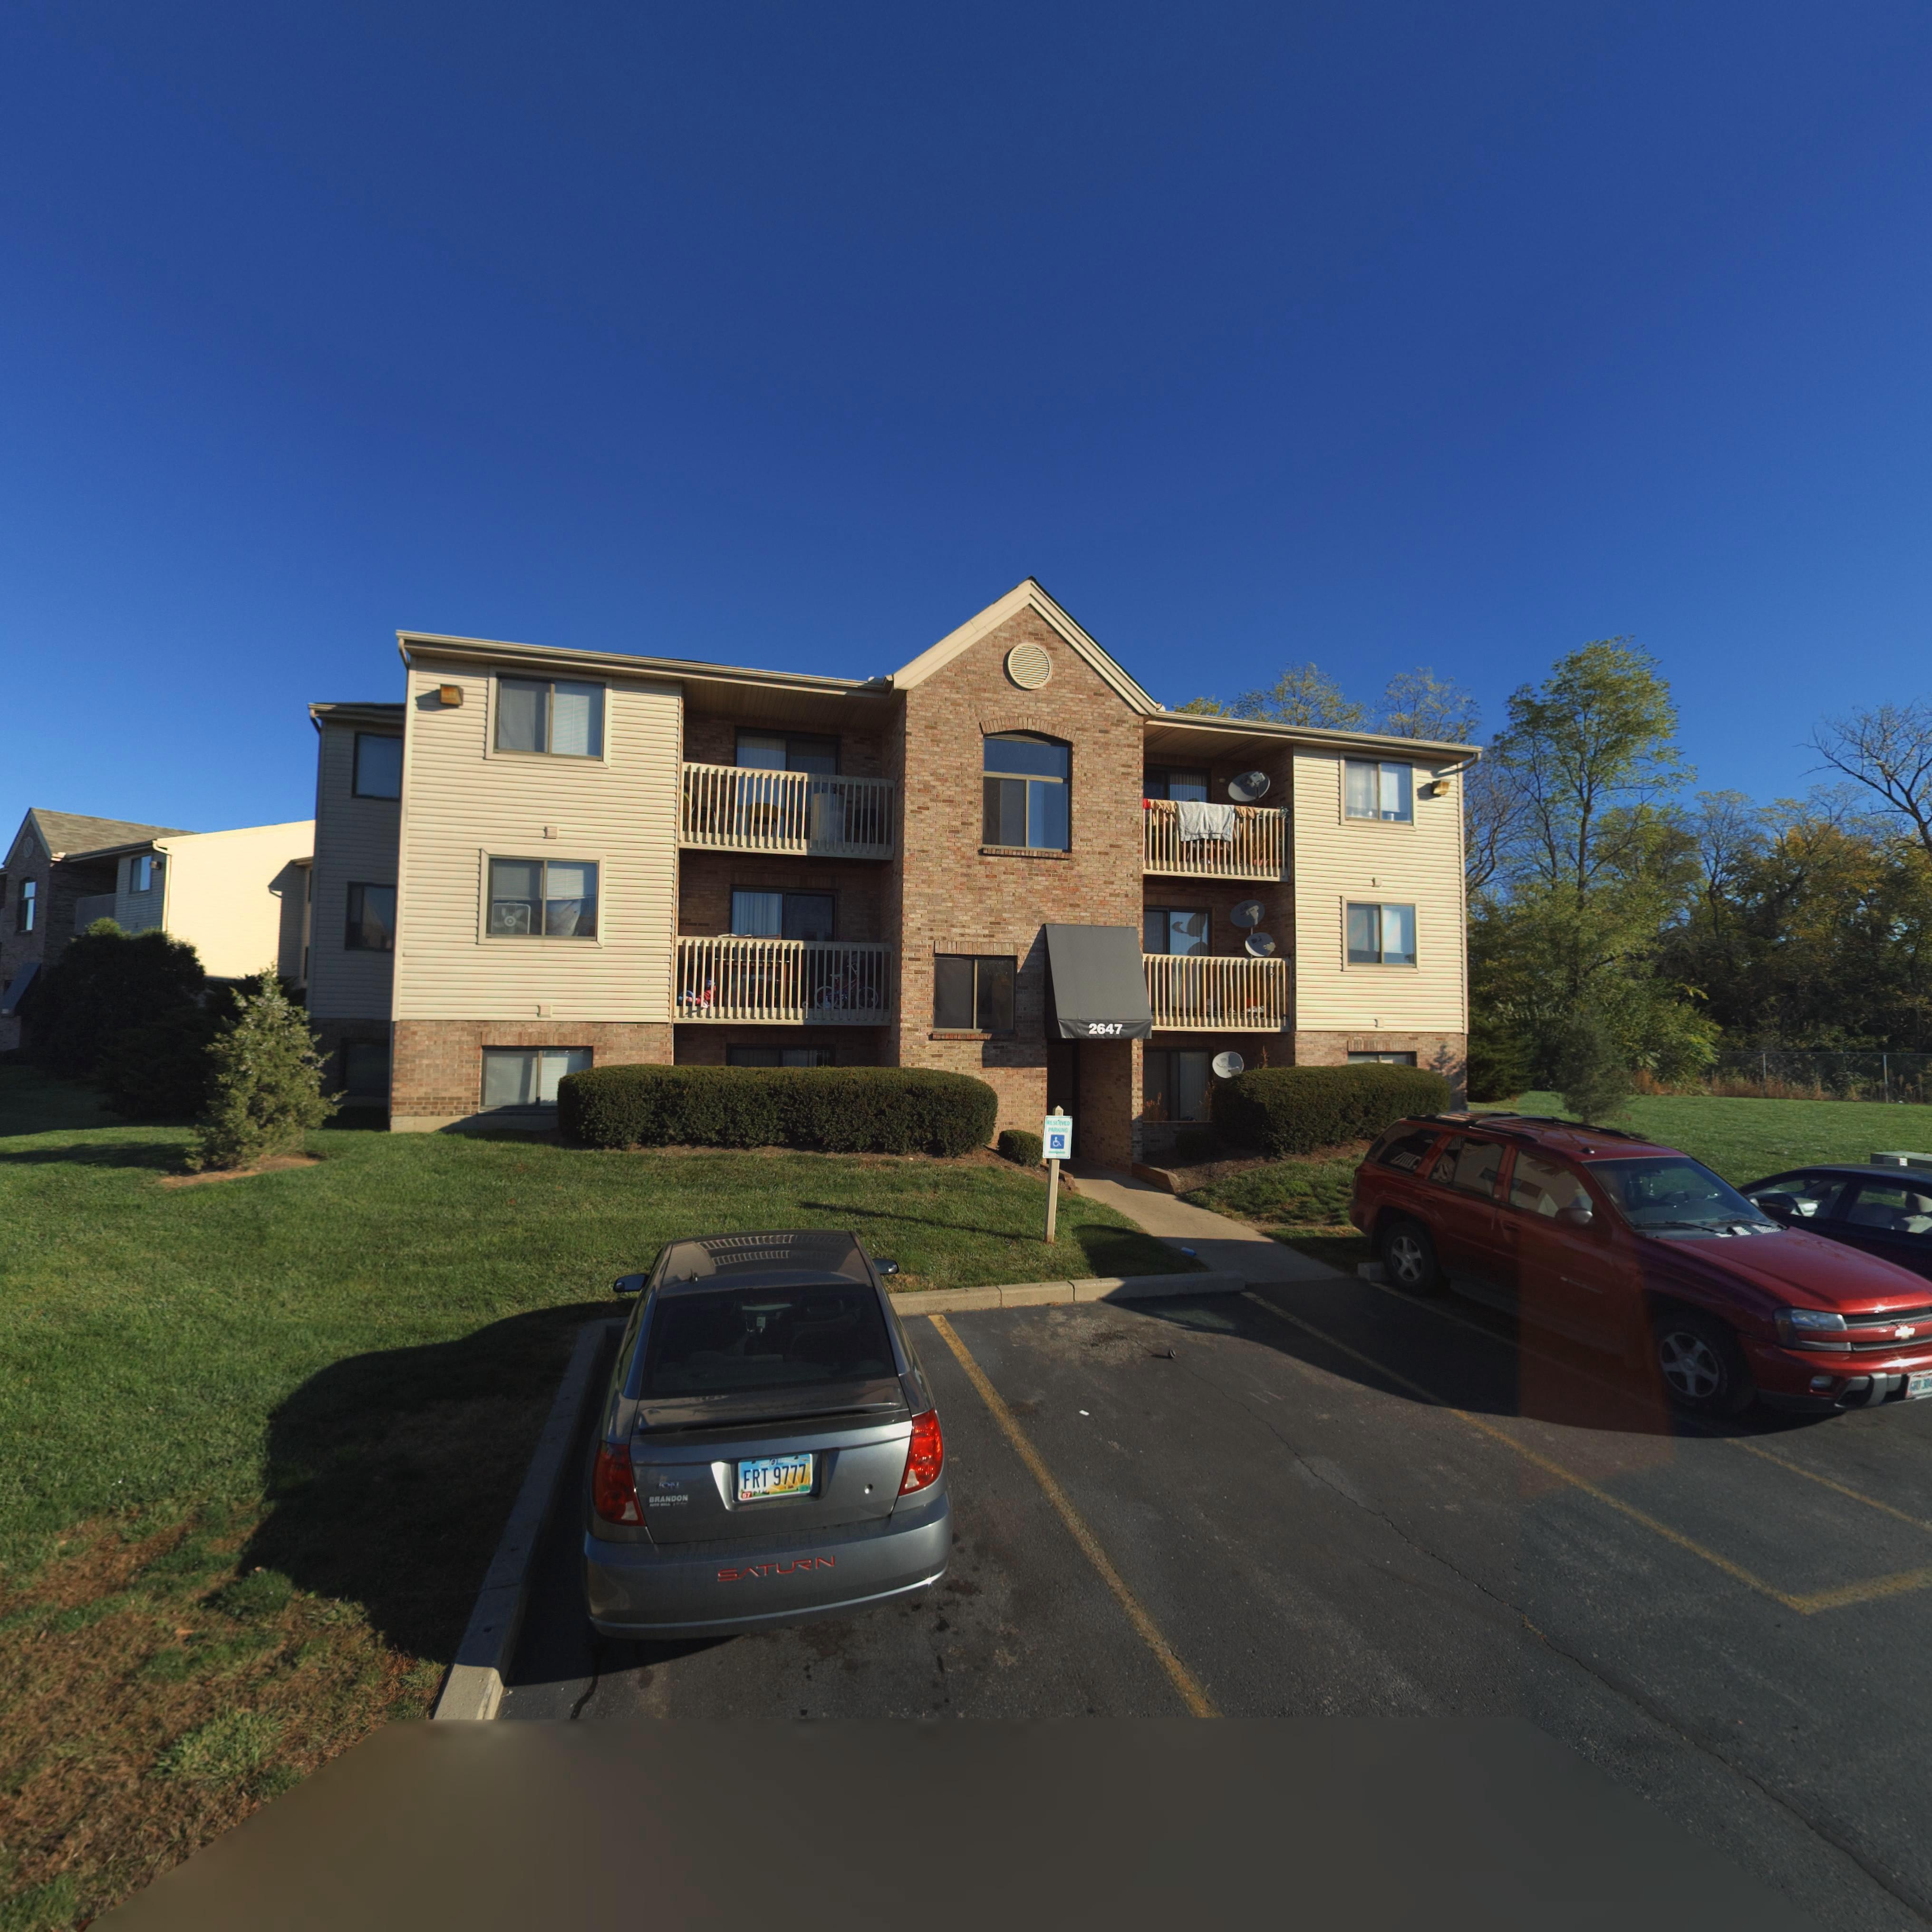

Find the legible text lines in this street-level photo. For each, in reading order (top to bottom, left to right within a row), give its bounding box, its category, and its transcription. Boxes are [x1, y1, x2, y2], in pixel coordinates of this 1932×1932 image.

[1087, 1022, 1124, 1036] StreetNumber: 2647